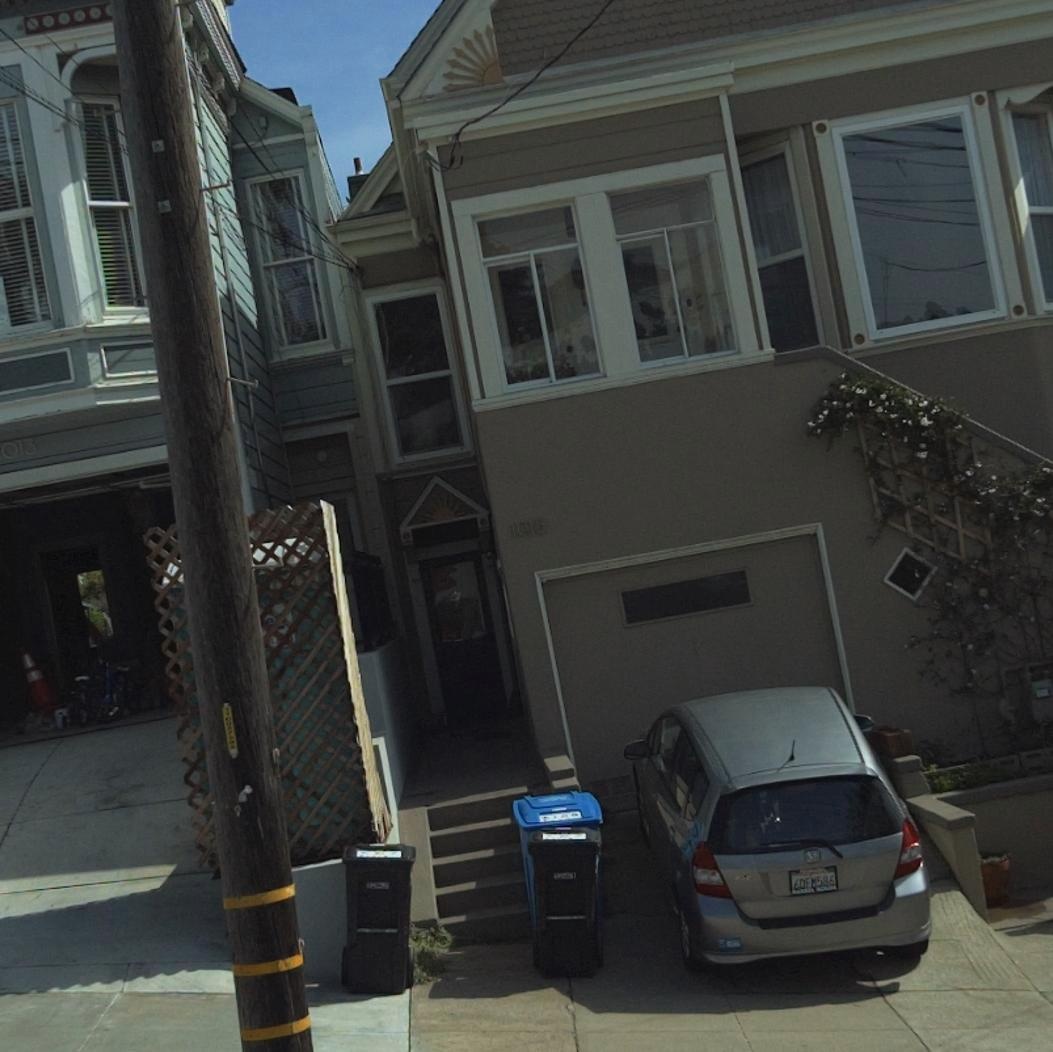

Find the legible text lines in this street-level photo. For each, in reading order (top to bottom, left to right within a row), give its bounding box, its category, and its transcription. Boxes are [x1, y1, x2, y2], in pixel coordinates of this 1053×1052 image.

[0, 435, 41, 463] StreetNumber: 013
[507, 514, 550, 542] StreetNumber: 1015
[792, 873, 837, 892] None: 6DE*586